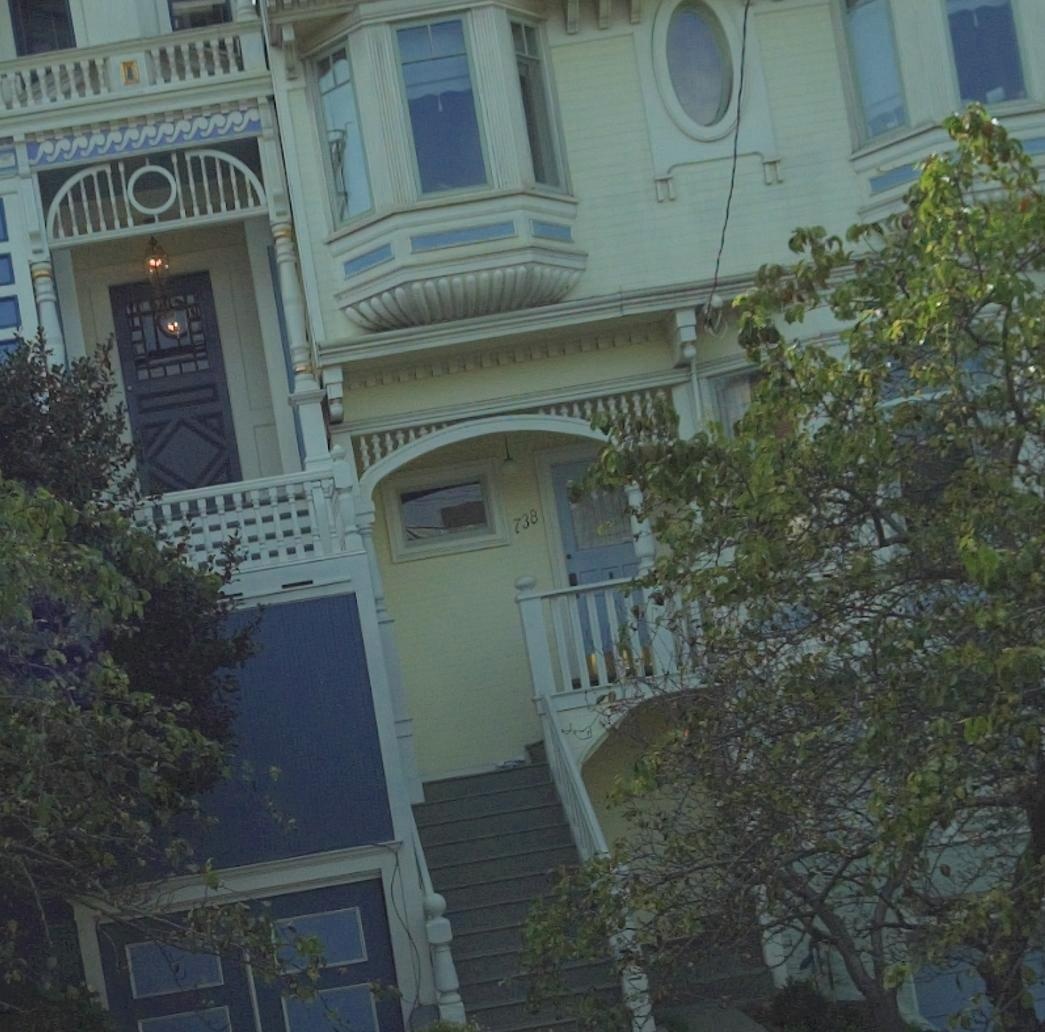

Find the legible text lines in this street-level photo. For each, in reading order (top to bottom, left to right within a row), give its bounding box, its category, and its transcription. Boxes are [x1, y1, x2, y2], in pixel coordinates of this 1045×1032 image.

[513, 504, 540, 536] StreetNumber: 738